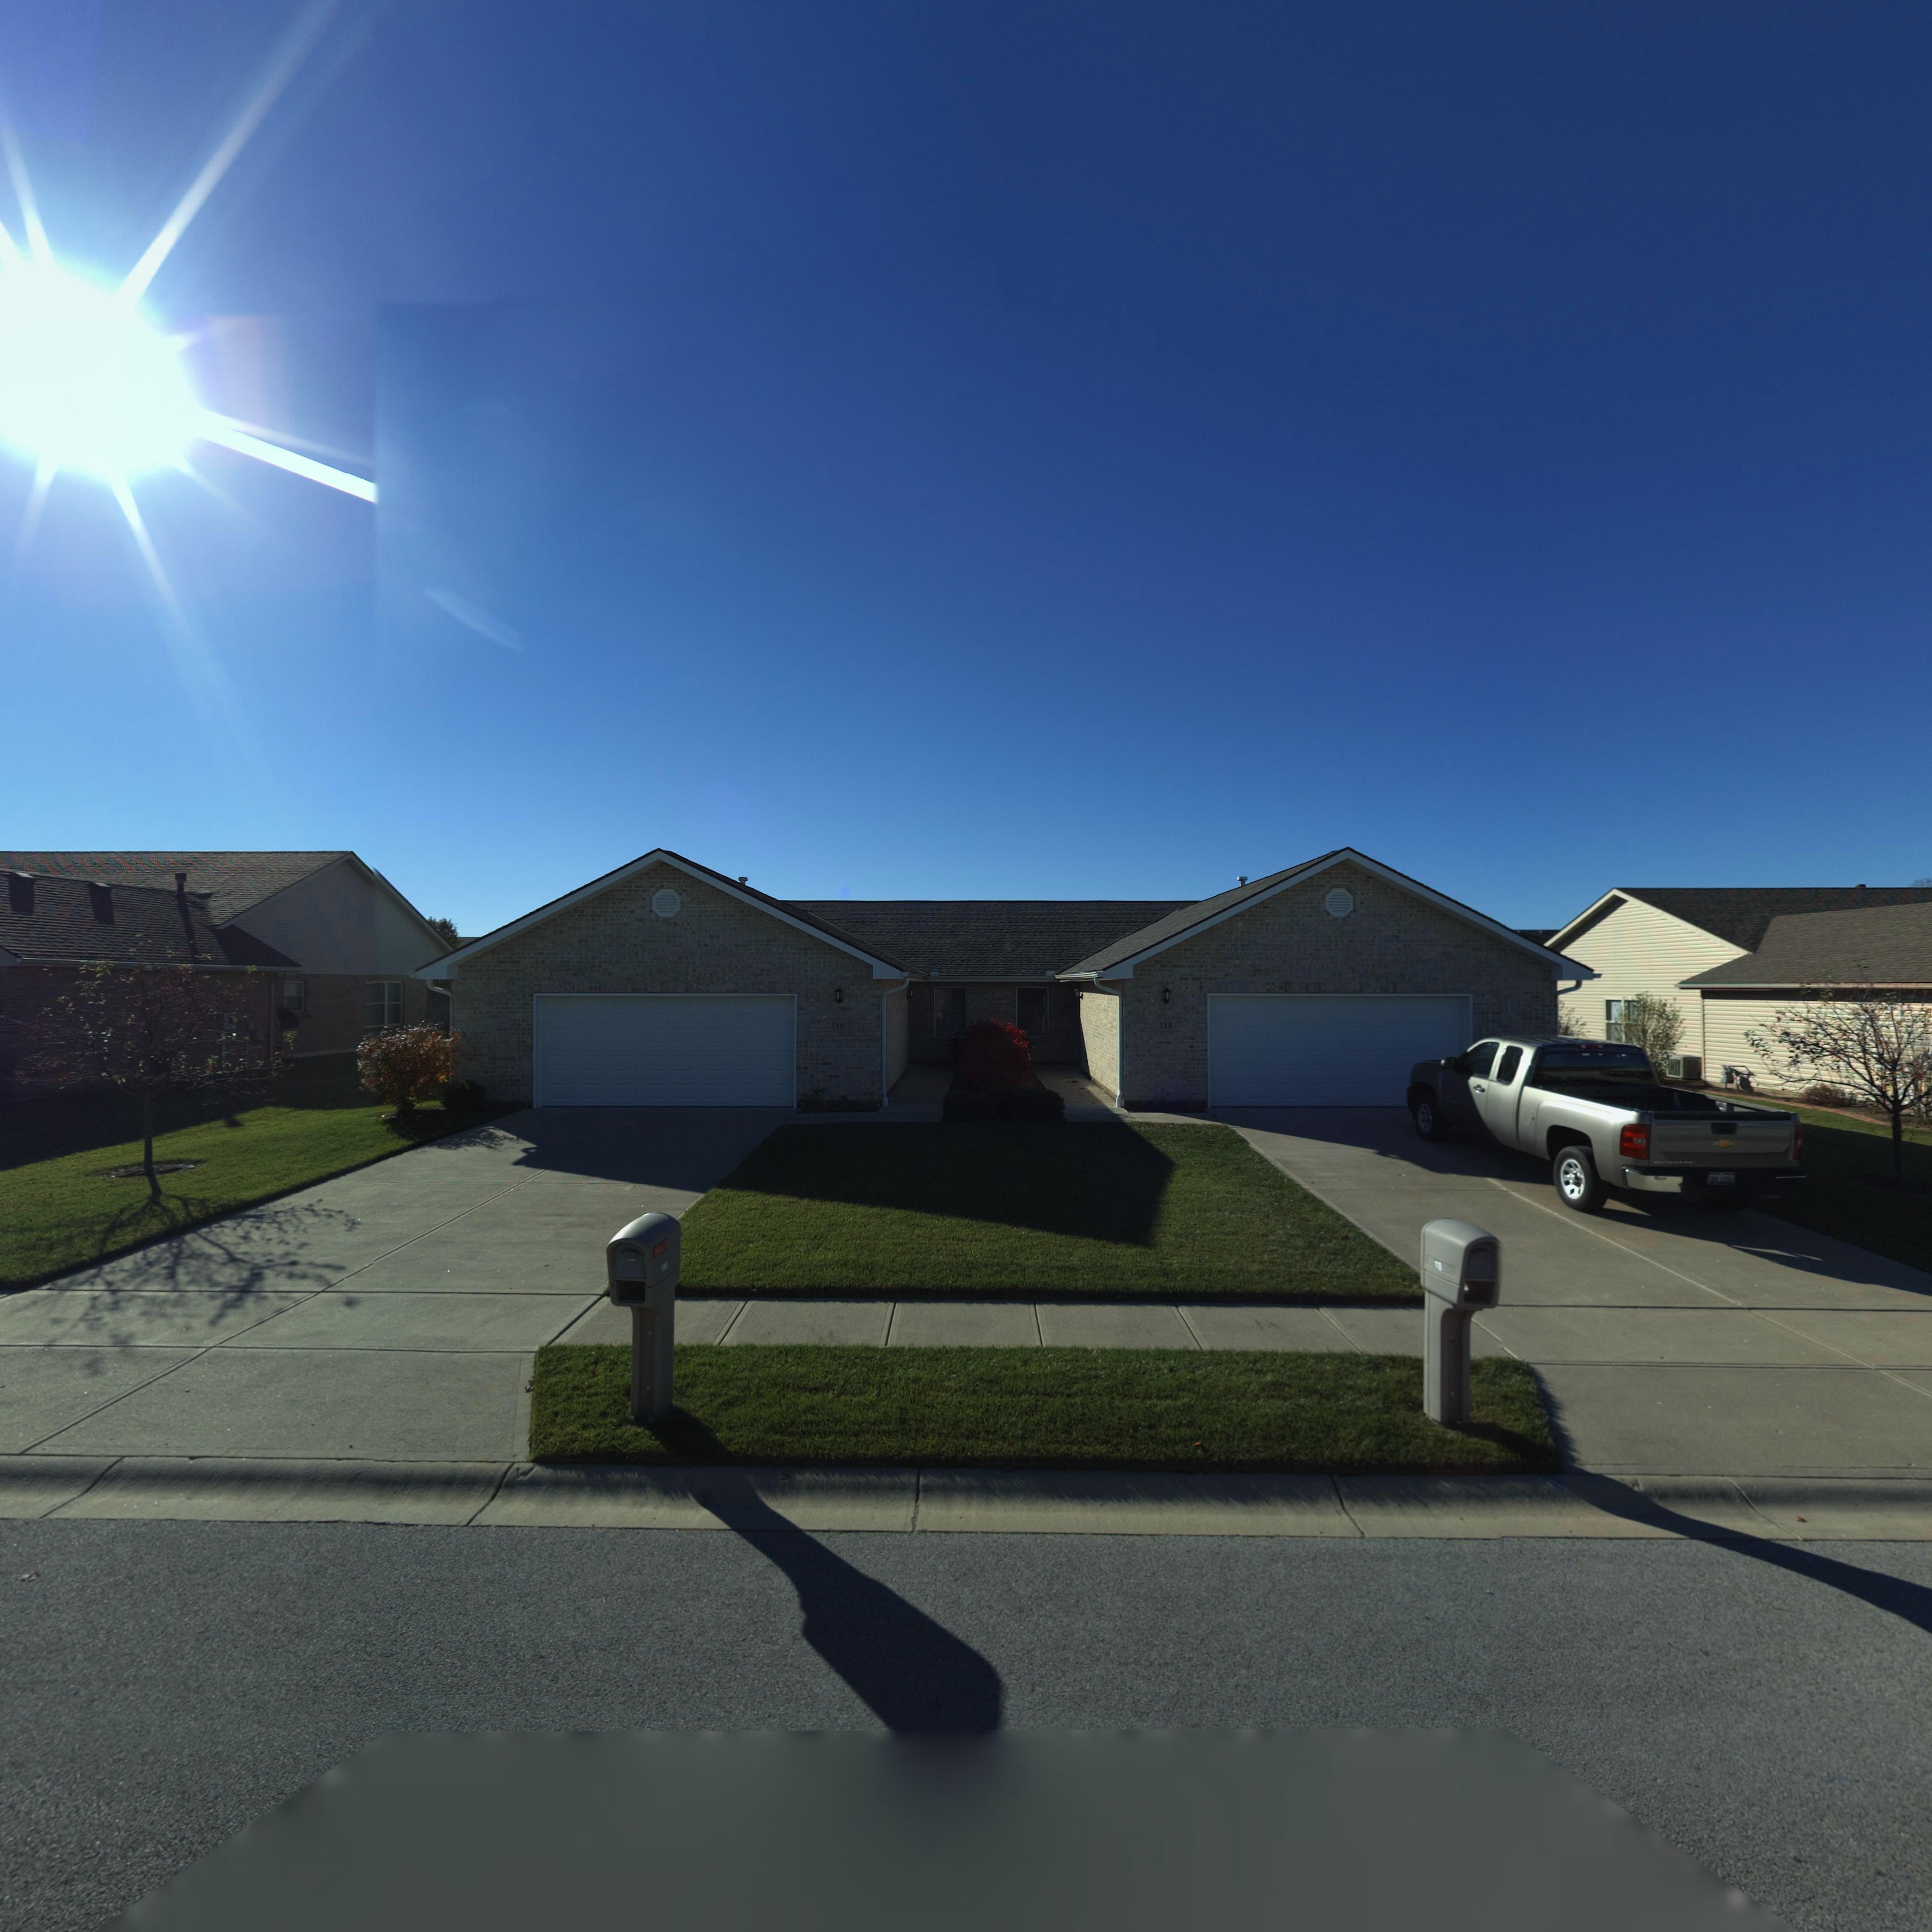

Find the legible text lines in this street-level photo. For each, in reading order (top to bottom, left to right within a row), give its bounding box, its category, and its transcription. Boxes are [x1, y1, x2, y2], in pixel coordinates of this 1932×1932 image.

[831, 1021, 845, 1030] StreetNumber: 116
[1159, 1021, 1173, 1030] StreetNumber: 118